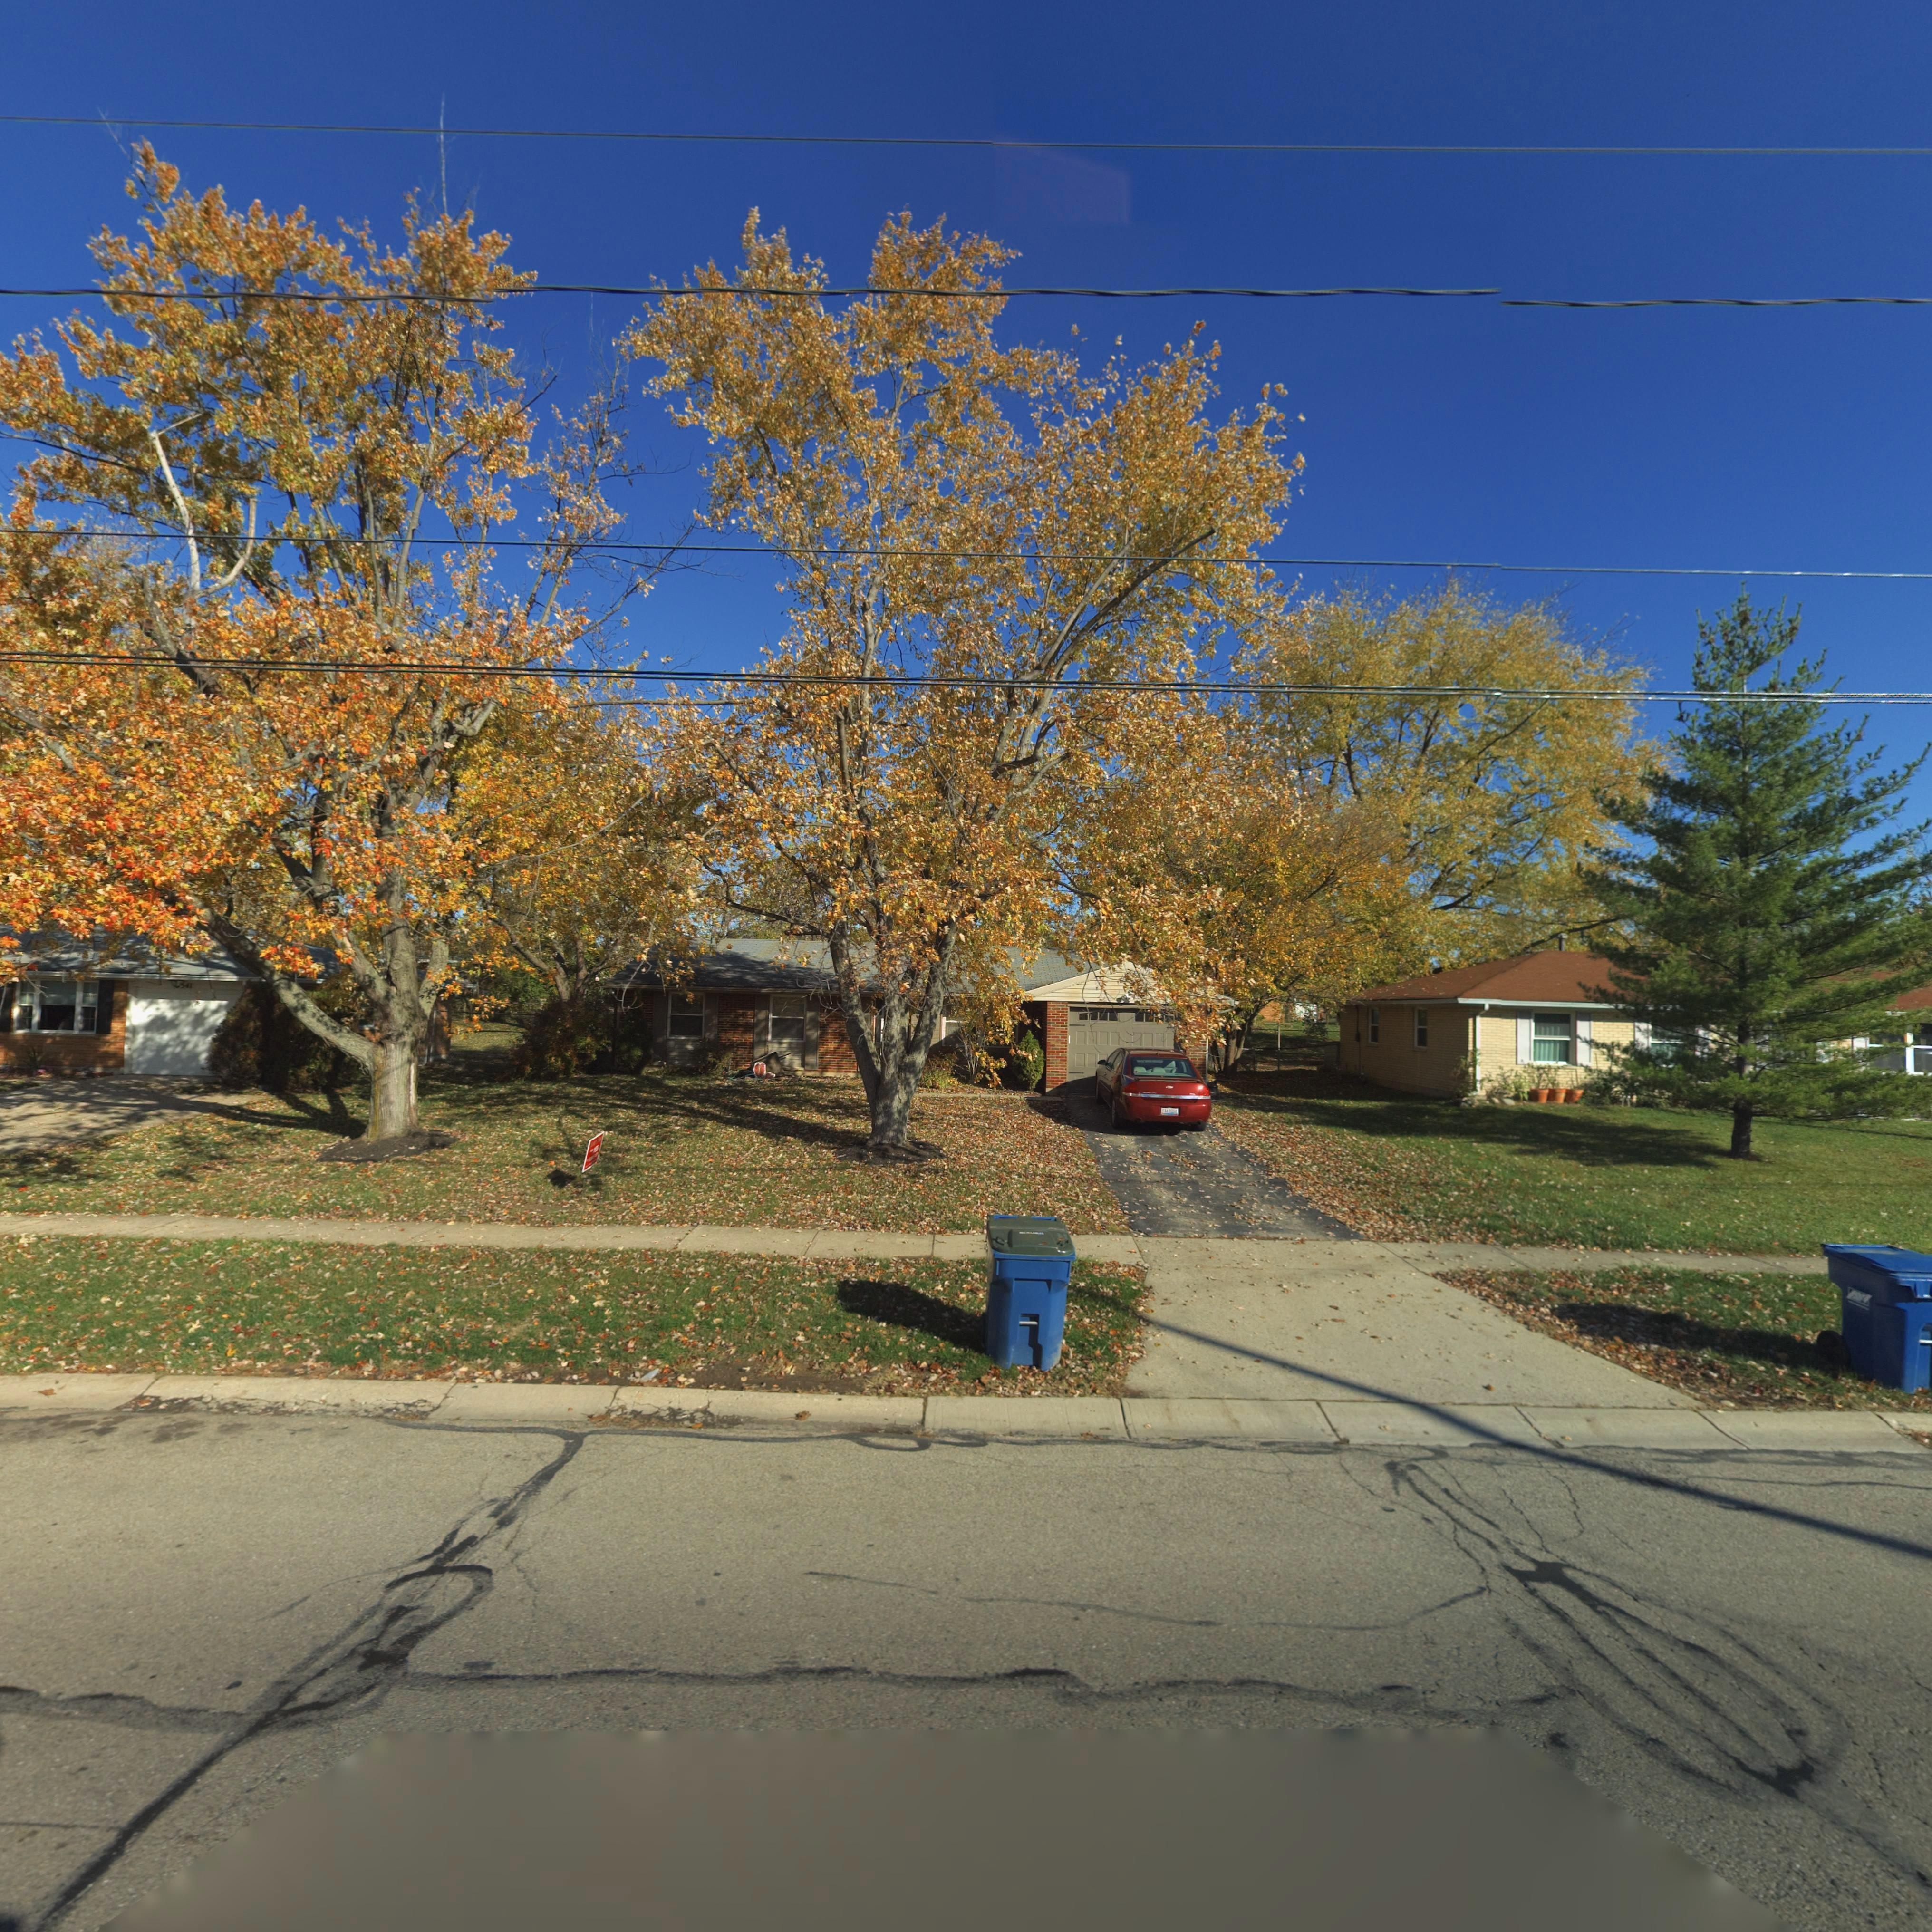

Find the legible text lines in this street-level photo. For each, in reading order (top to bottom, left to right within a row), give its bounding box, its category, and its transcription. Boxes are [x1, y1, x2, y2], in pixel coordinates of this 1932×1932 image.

[180, 982, 194, 990] StreetNumber: *41